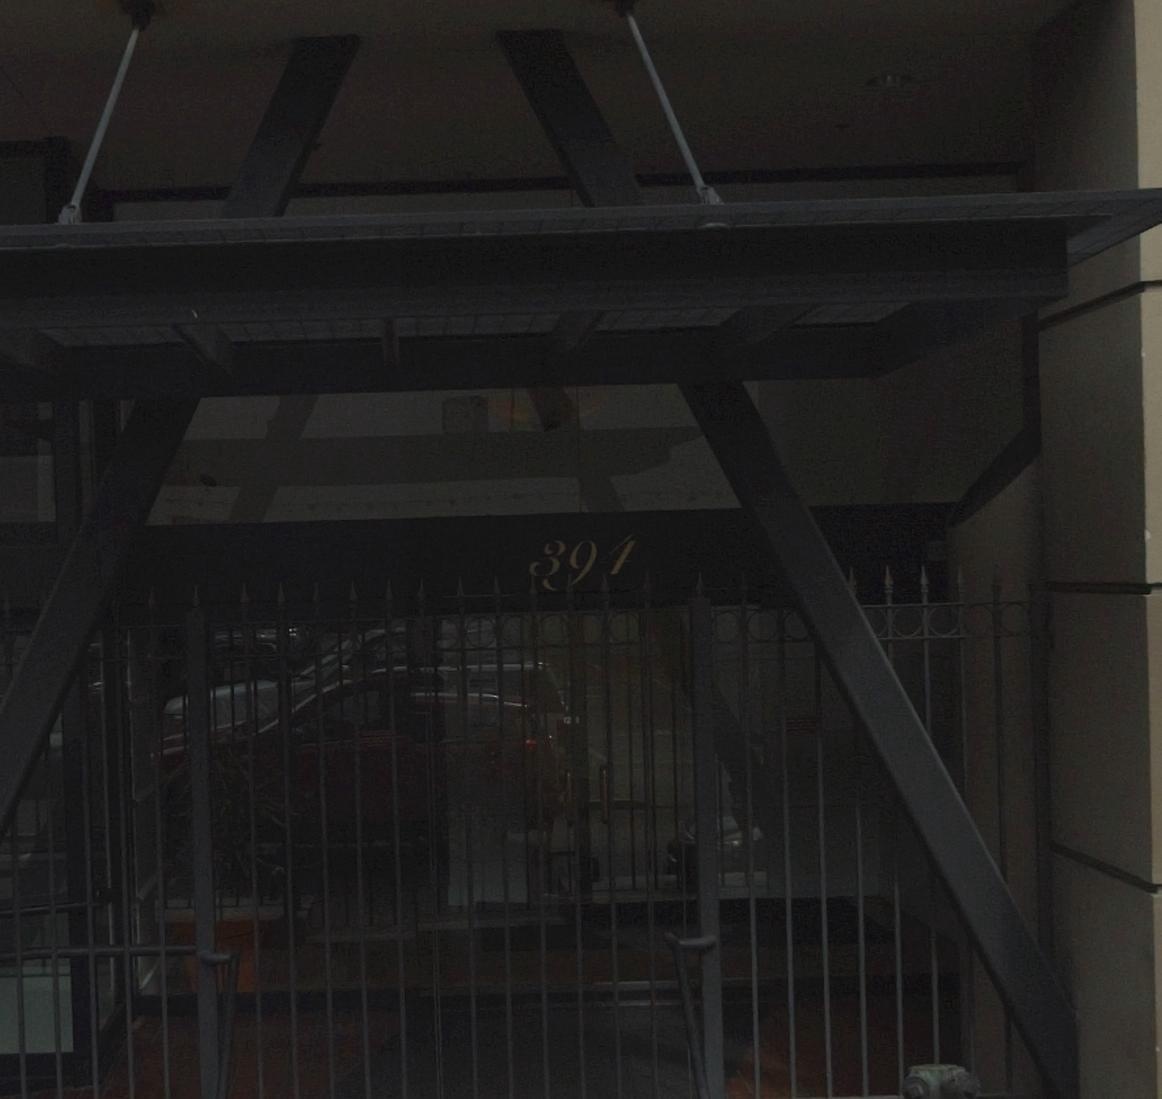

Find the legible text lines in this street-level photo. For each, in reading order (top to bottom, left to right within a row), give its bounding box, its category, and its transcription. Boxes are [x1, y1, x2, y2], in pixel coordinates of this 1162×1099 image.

[521, 534, 646, 602] StreetNumber: 394